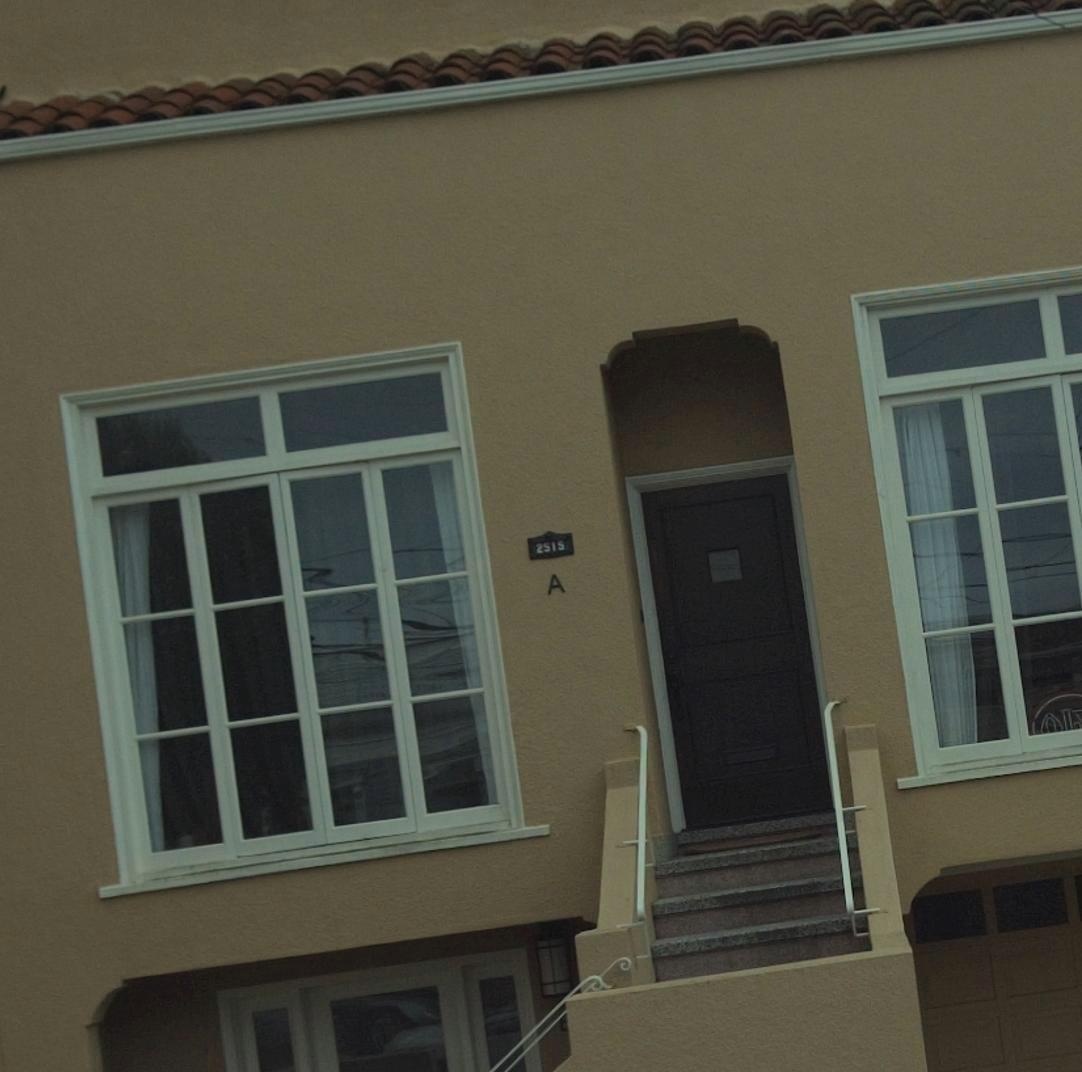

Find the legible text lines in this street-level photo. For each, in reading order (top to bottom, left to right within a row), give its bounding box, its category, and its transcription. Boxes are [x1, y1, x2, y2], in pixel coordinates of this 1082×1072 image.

[535, 538, 566, 556] StreetNumber: 2515
[546, 571, 568, 597] StreetNumber: A